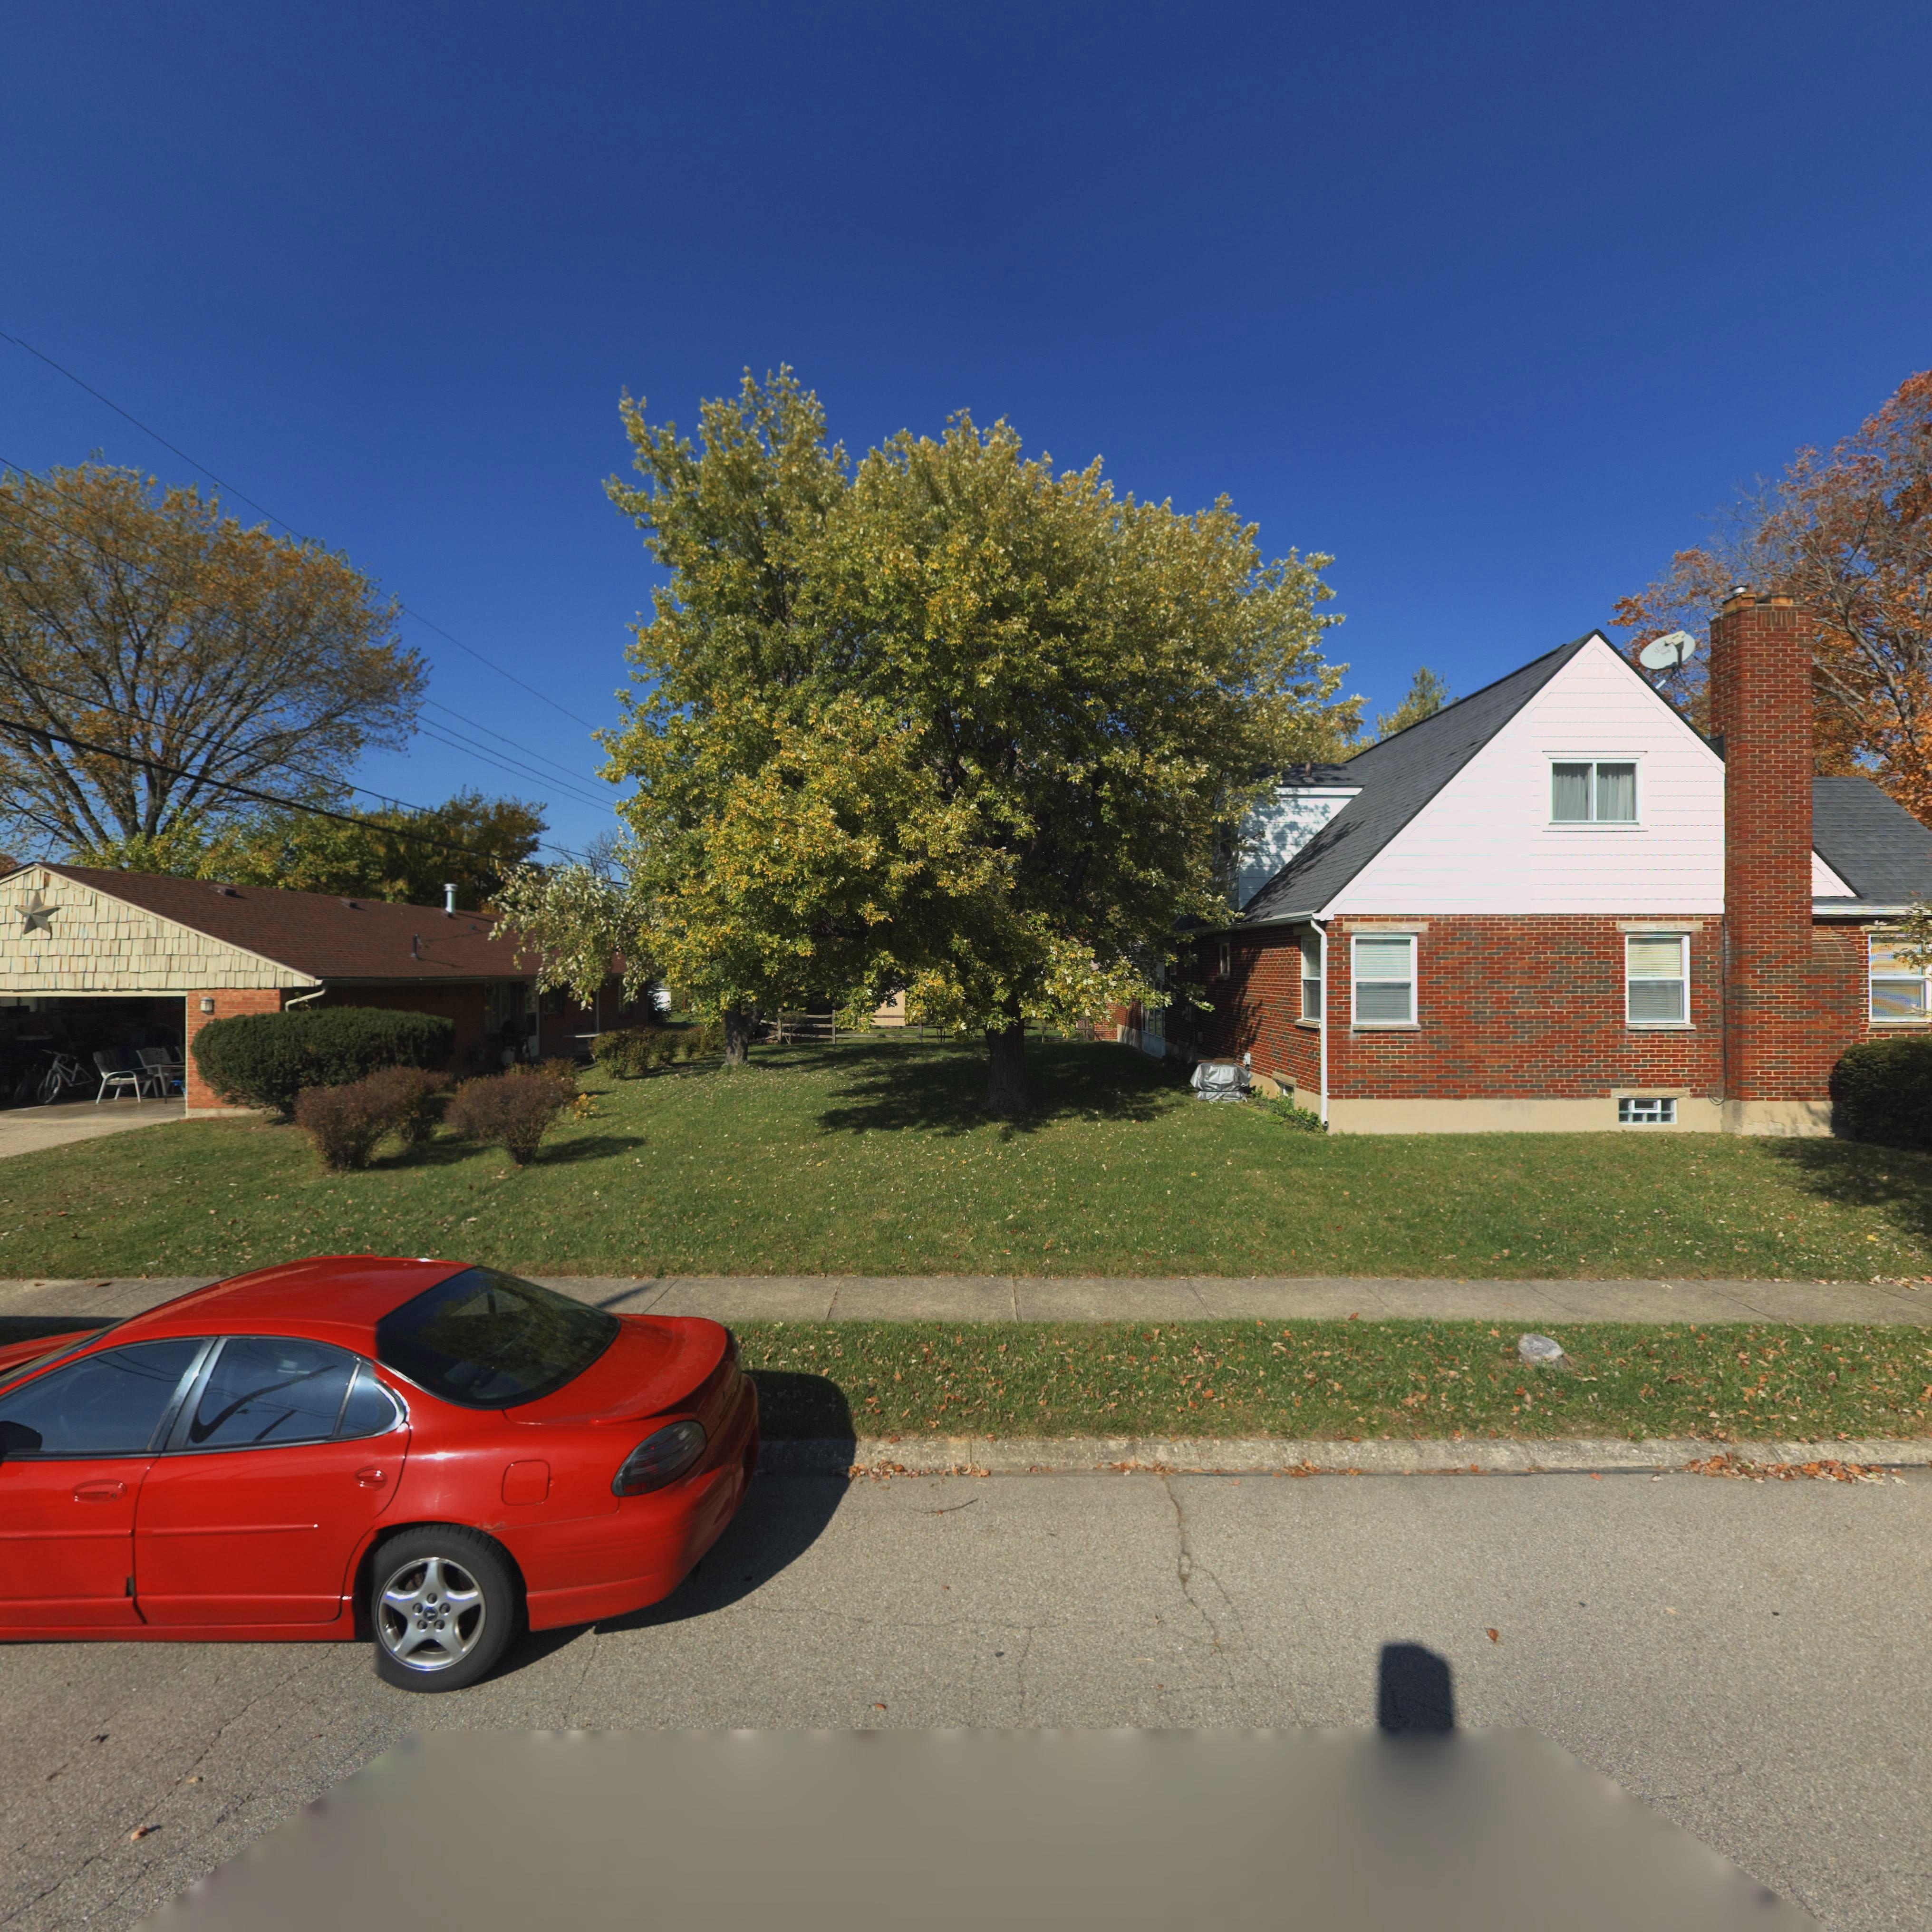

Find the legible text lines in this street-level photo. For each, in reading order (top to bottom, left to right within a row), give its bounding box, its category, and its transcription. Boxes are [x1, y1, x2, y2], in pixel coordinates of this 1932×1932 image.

[1653, 645, 1661, 654] None: d